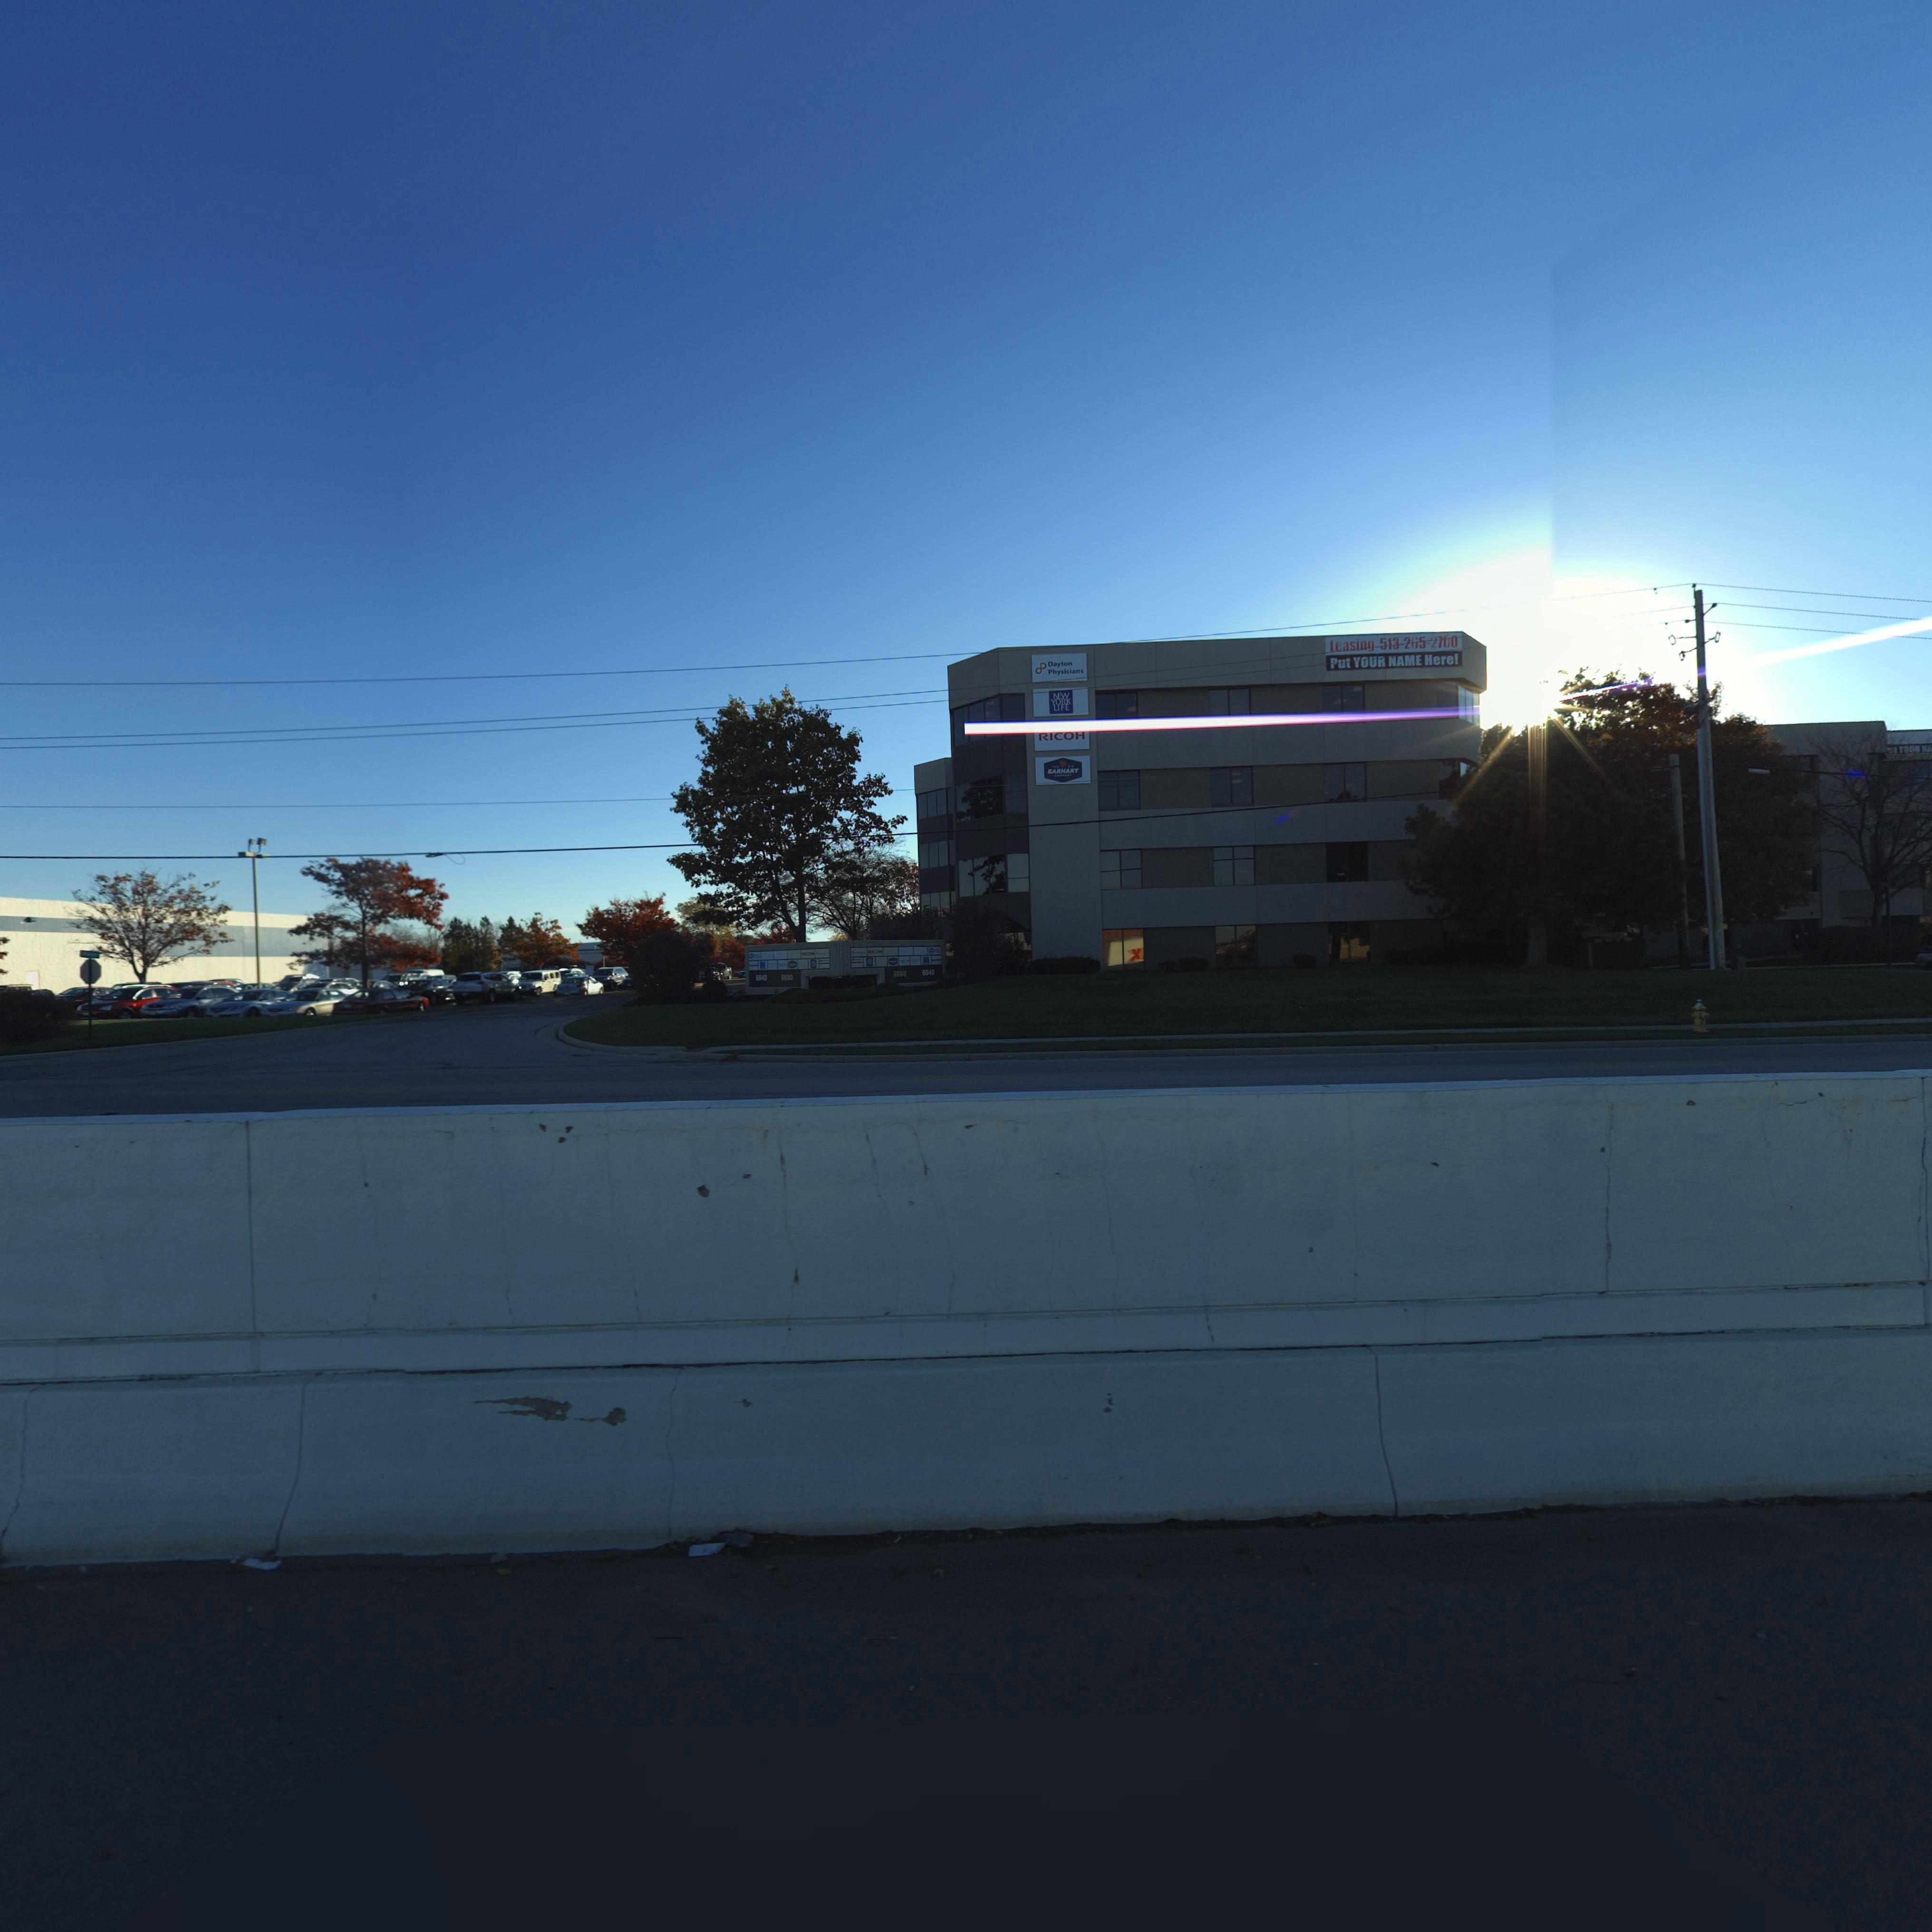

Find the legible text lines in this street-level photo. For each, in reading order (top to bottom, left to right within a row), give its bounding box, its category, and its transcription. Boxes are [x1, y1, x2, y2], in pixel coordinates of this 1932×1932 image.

[1329, 635, 1459, 653] None: Leasing 513-265-2700
[1046, 660, 1072, 668] None: Dayton
[1328, 652, 1460, 669] None: Put YOUR NAME Here!
[1047, 668, 1083, 676] None: Physicians
[1052, 692, 1070, 700] None: NEW
[1049, 698, 1072, 706] None: york
[1050, 703, 1070, 712] None: LIFE
[1037, 731, 1085, 741] None: RICOH
[1046, 767, 1079, 775] None: EARHART
[755, 974, 768, 983] StreetNumber: 6640
[779, 973, 794, 982] StreetNumber: 6680
[893, 969, 908, 978] StreetNumber: 6680
[921, 968, 936, 977] StreetNumber: 6640